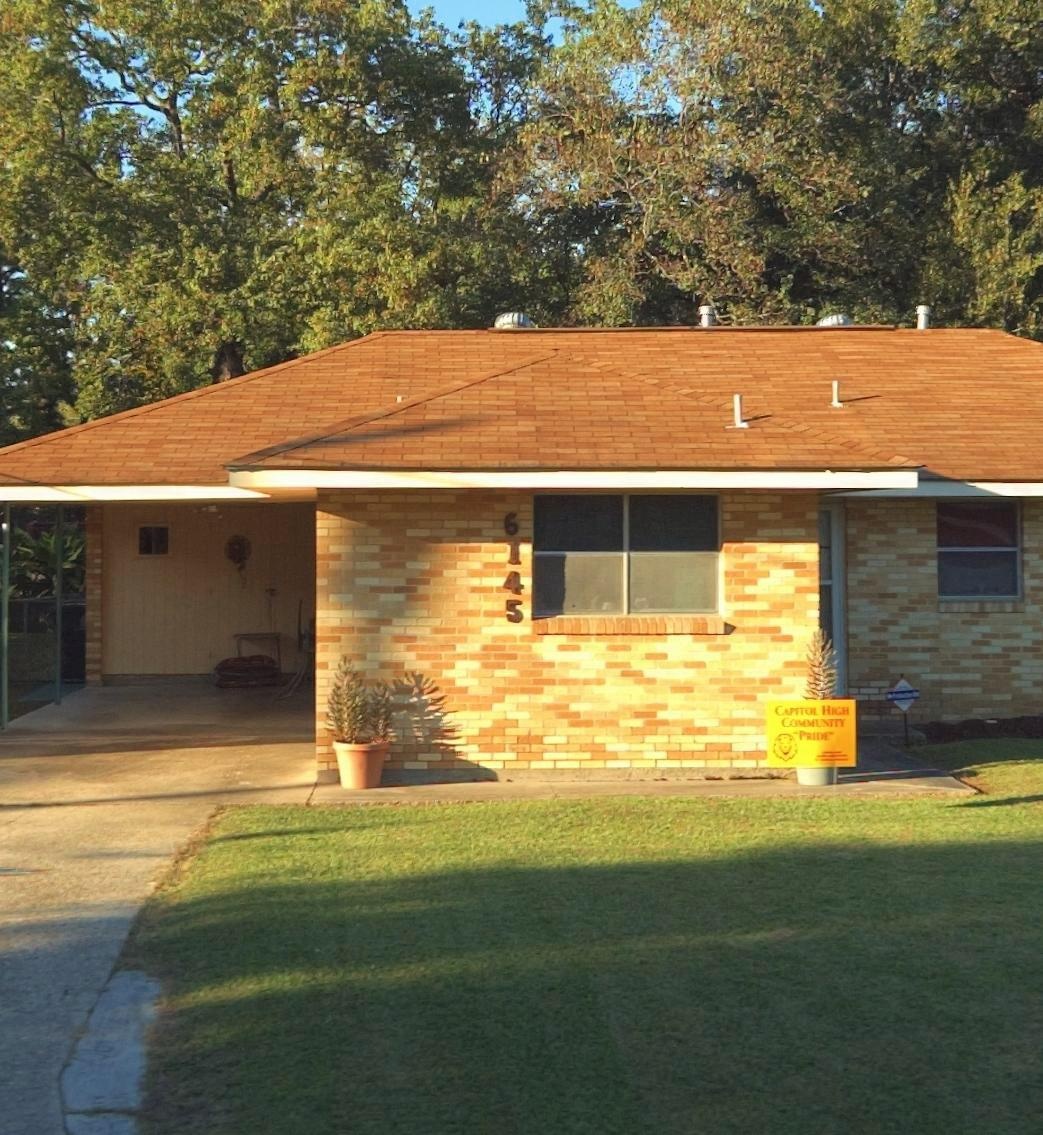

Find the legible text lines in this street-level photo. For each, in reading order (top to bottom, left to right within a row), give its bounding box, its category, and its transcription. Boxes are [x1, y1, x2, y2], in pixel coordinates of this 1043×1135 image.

[503, 511, 525, 626] StreetNumber: 6145
[775, 705, 851, 716] None: CAPITOL HIGH
[781, 717, 848, 728] None: COMMUNITY
[792, 730, 834, 741] None: "PRIDE"